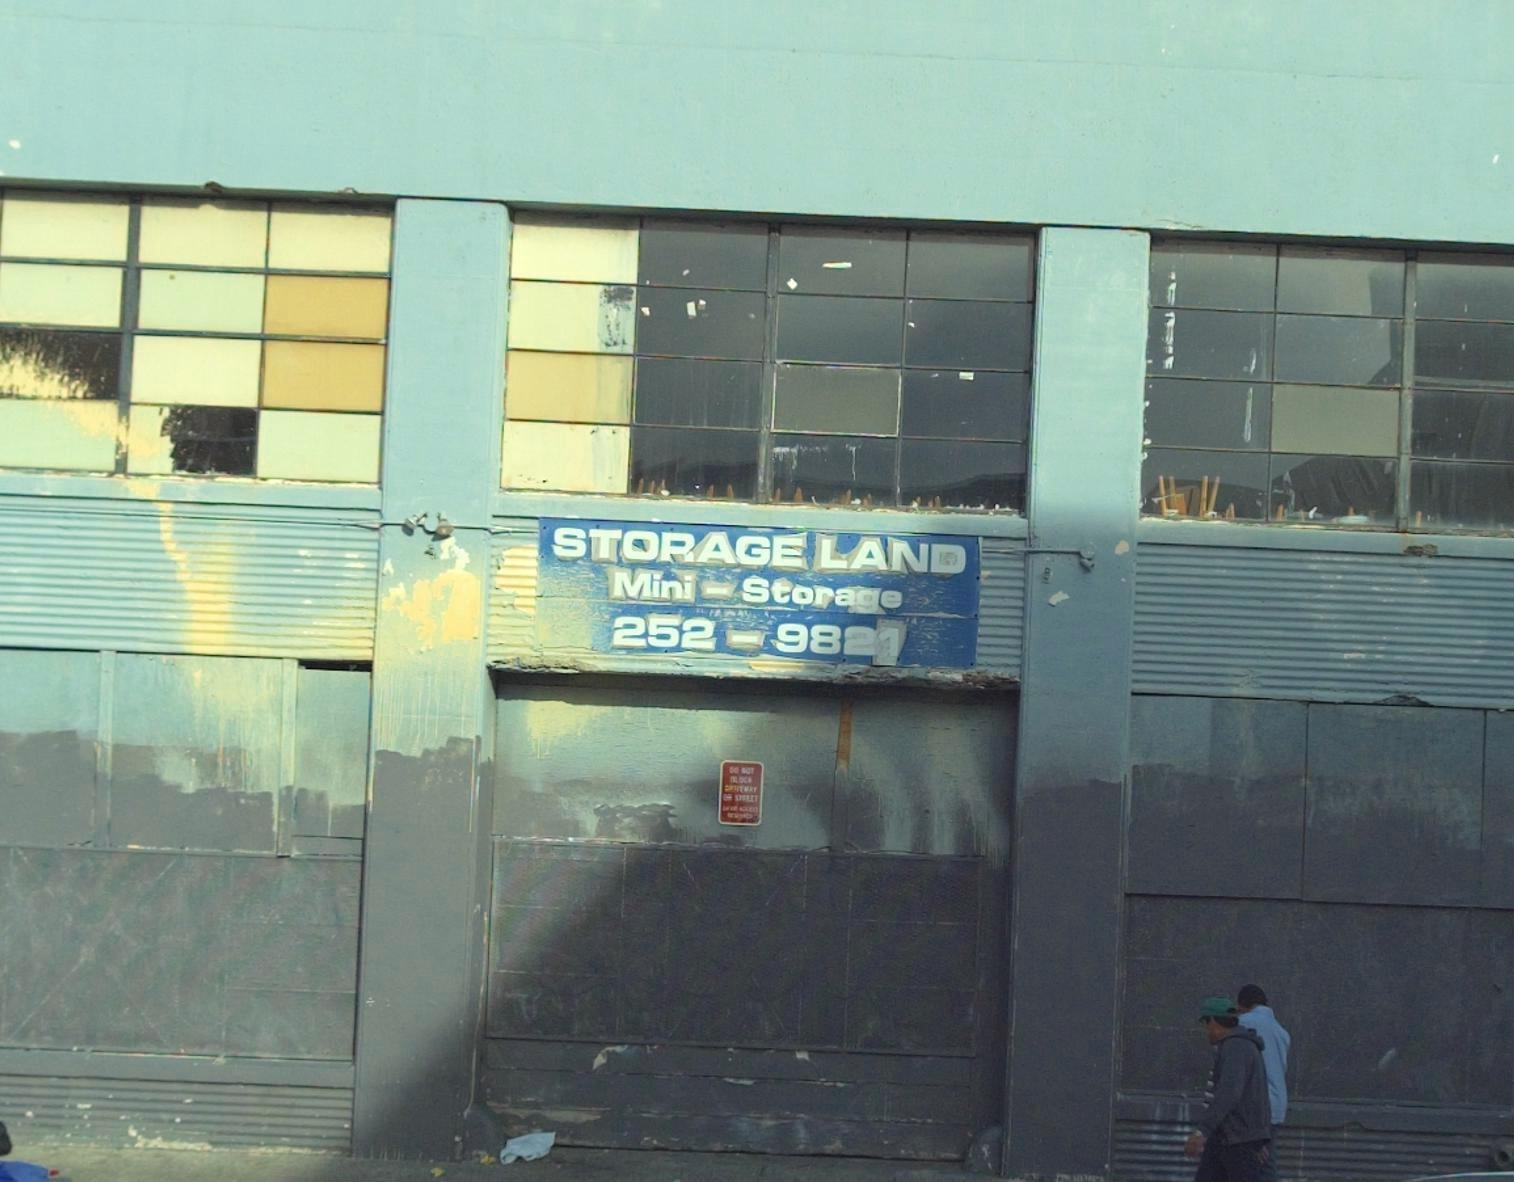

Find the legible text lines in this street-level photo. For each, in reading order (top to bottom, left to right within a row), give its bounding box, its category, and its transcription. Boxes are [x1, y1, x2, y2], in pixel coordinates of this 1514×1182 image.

[548, 523, 971, 580] BusinessName: STORAGE LAND
[609, 567, 907, 618] None: Mini - Storage
[606, 610, 905, 661] None: 252-9821
[728, 774, 755, 786] None: BLOCK
[727, 764, 757, 776] None: DO NOT